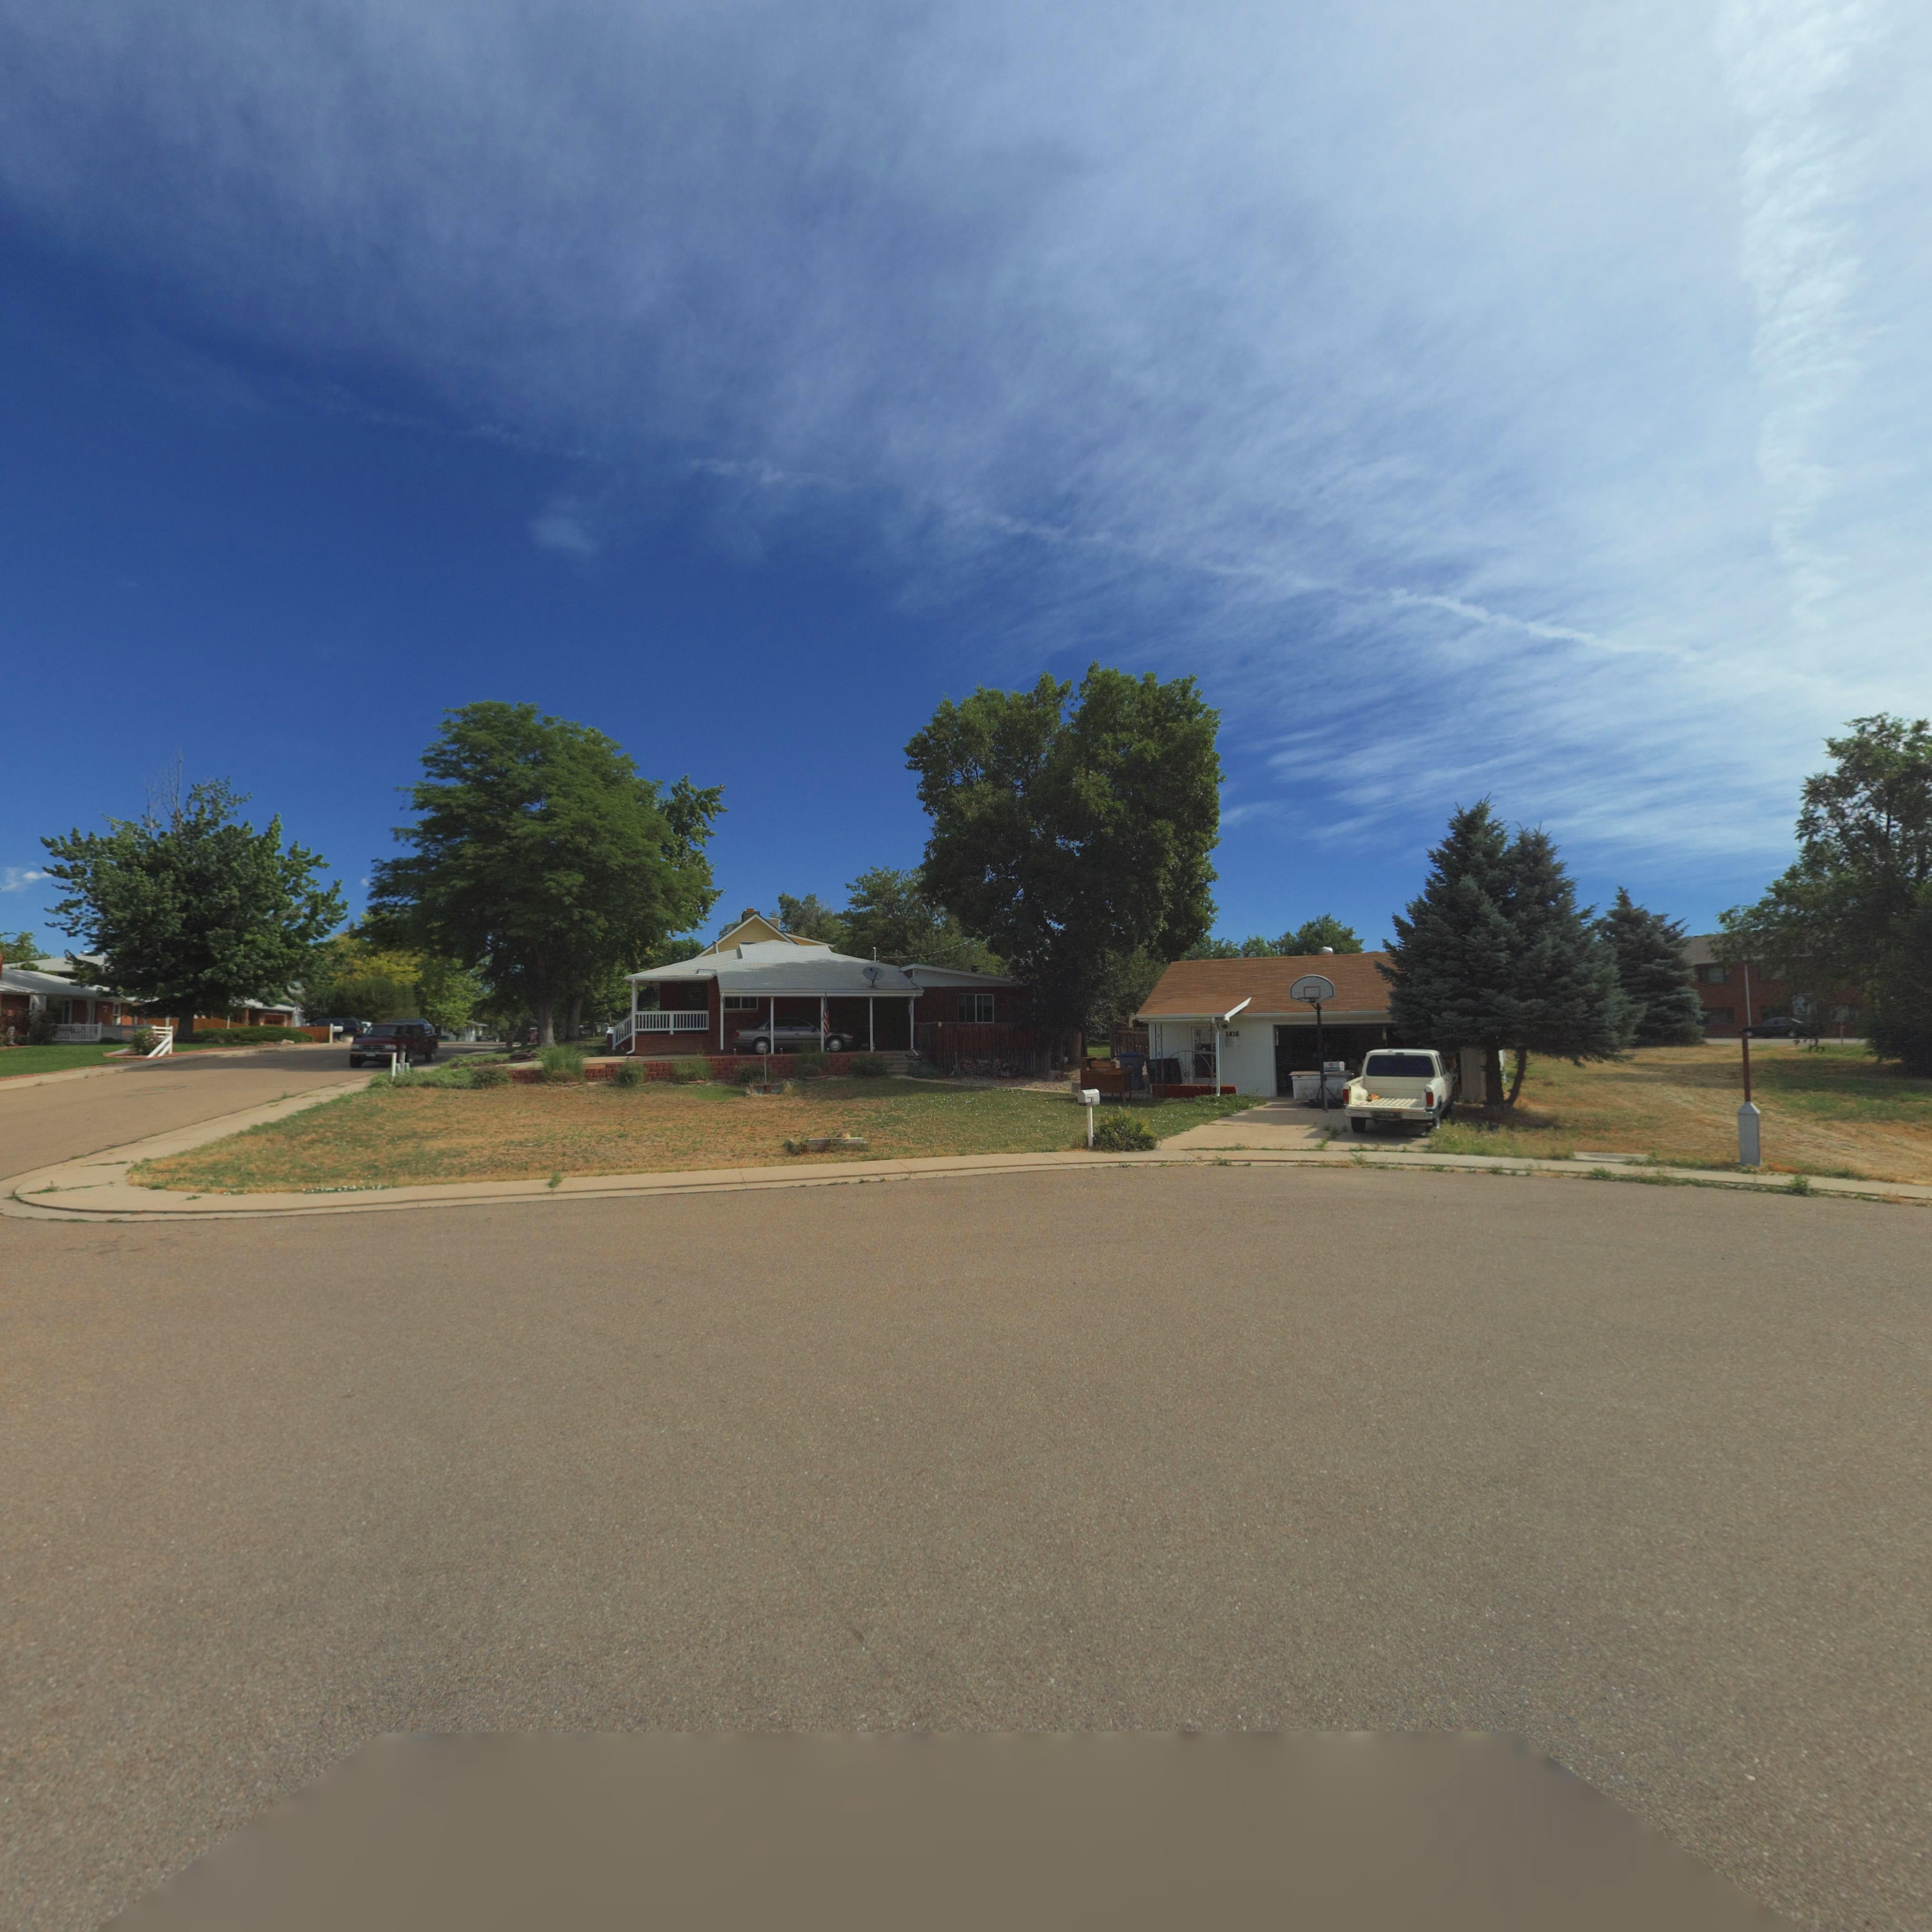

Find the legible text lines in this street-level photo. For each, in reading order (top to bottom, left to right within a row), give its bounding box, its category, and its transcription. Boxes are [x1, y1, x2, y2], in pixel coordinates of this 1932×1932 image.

[1225, 1031, 1239, 1037] StreetNumber: 1416